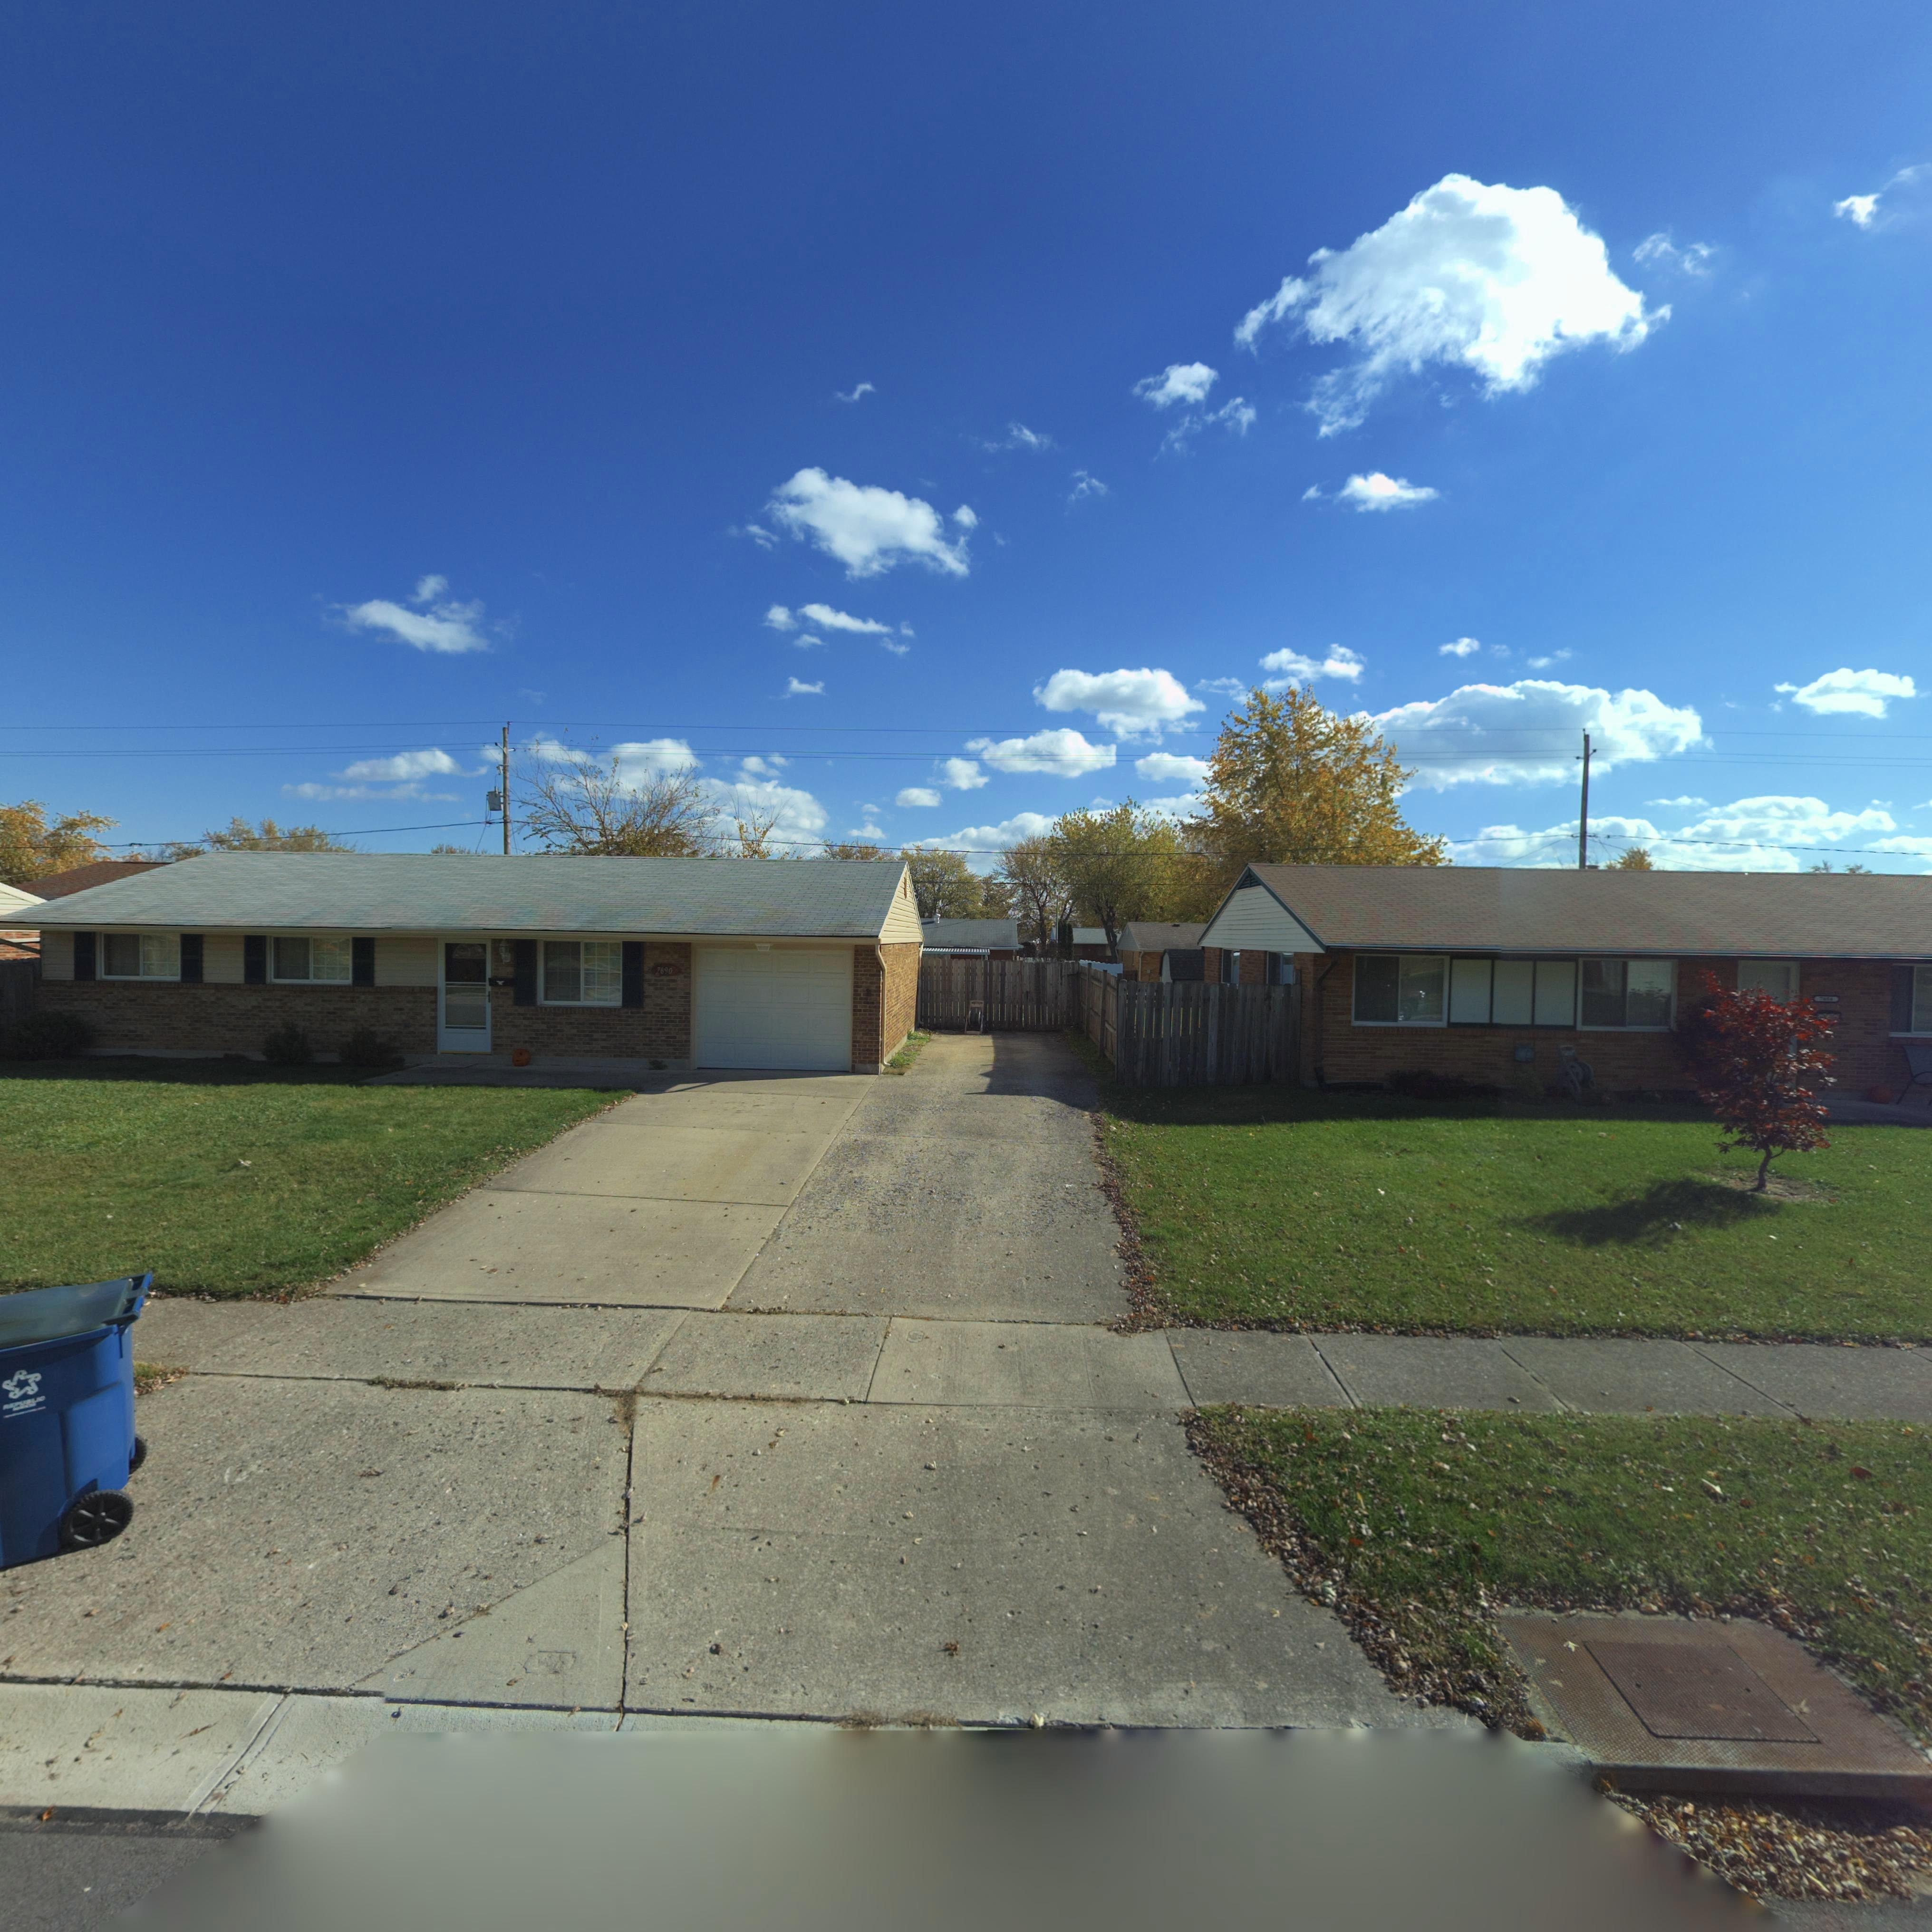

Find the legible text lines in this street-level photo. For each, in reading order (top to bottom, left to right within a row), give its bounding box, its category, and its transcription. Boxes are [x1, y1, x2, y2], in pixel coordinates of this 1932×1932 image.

[656, 966, 674, 976] StreetNumber: 7690